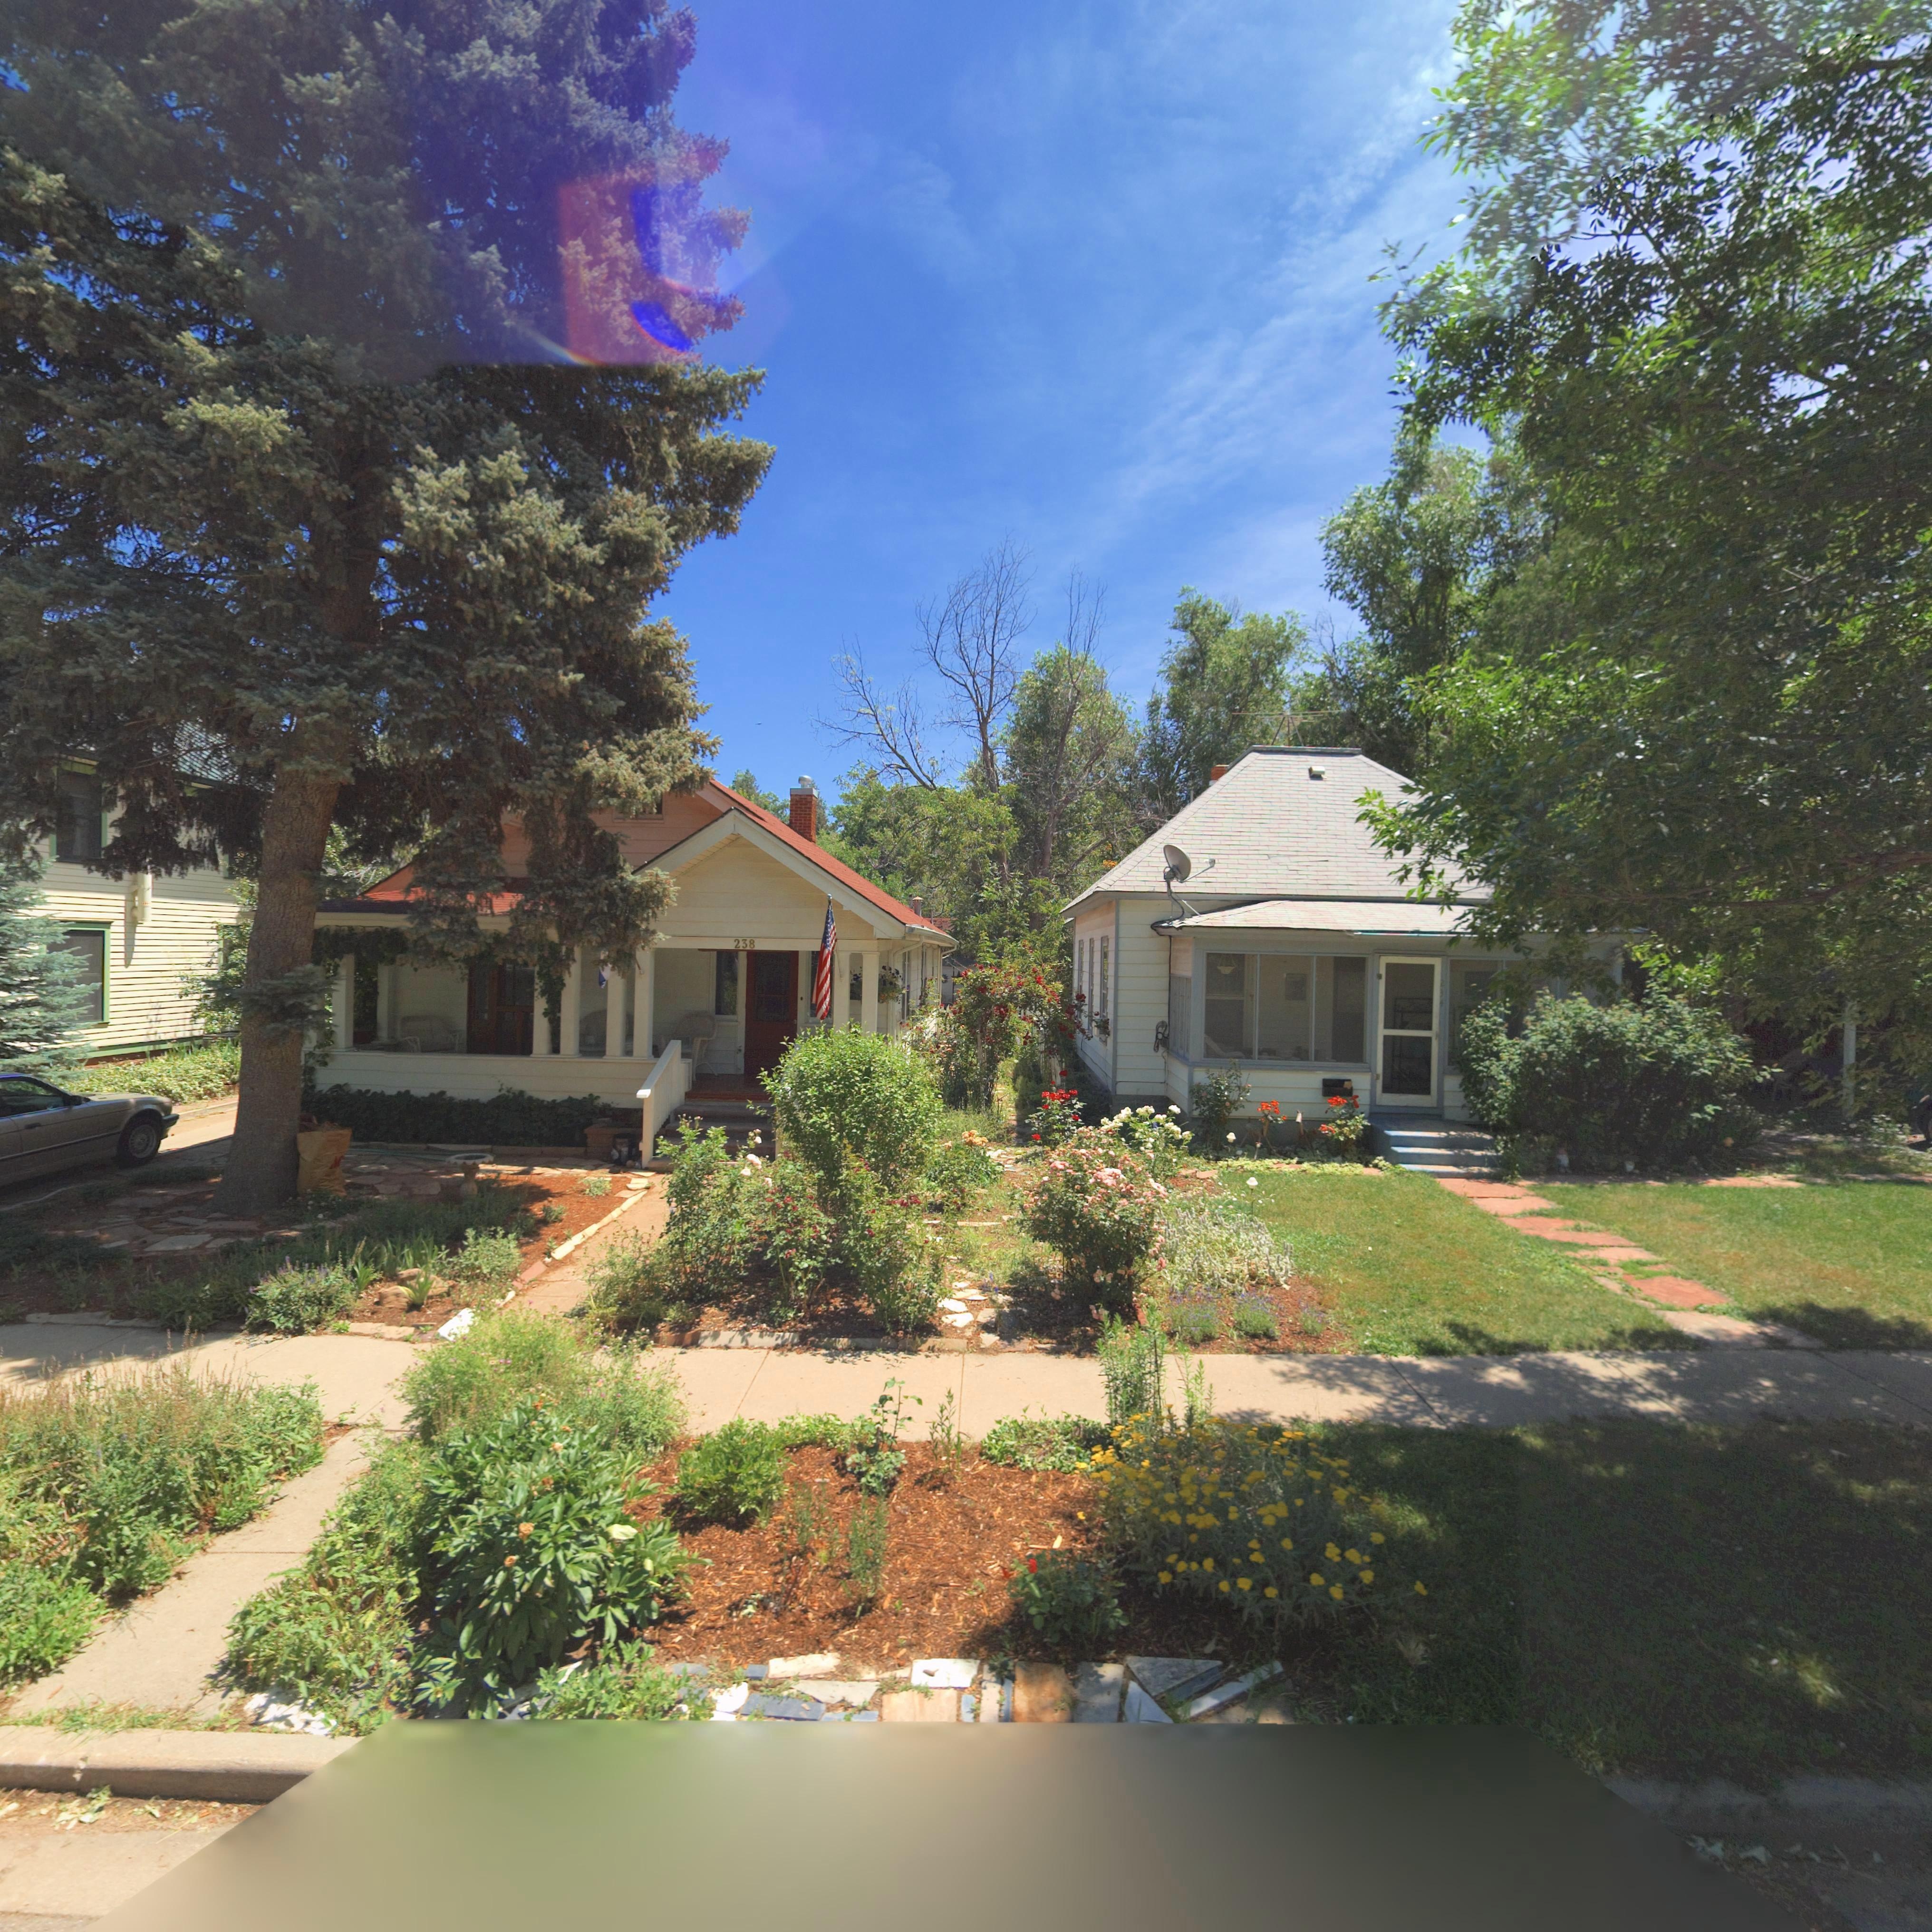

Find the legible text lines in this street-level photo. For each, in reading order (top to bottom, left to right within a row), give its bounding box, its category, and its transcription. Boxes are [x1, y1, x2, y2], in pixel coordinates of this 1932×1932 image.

[734, 938, 755, 949] StreetNumber: 238
[1439, 979, 1444, 1006] StreetNumber: 234